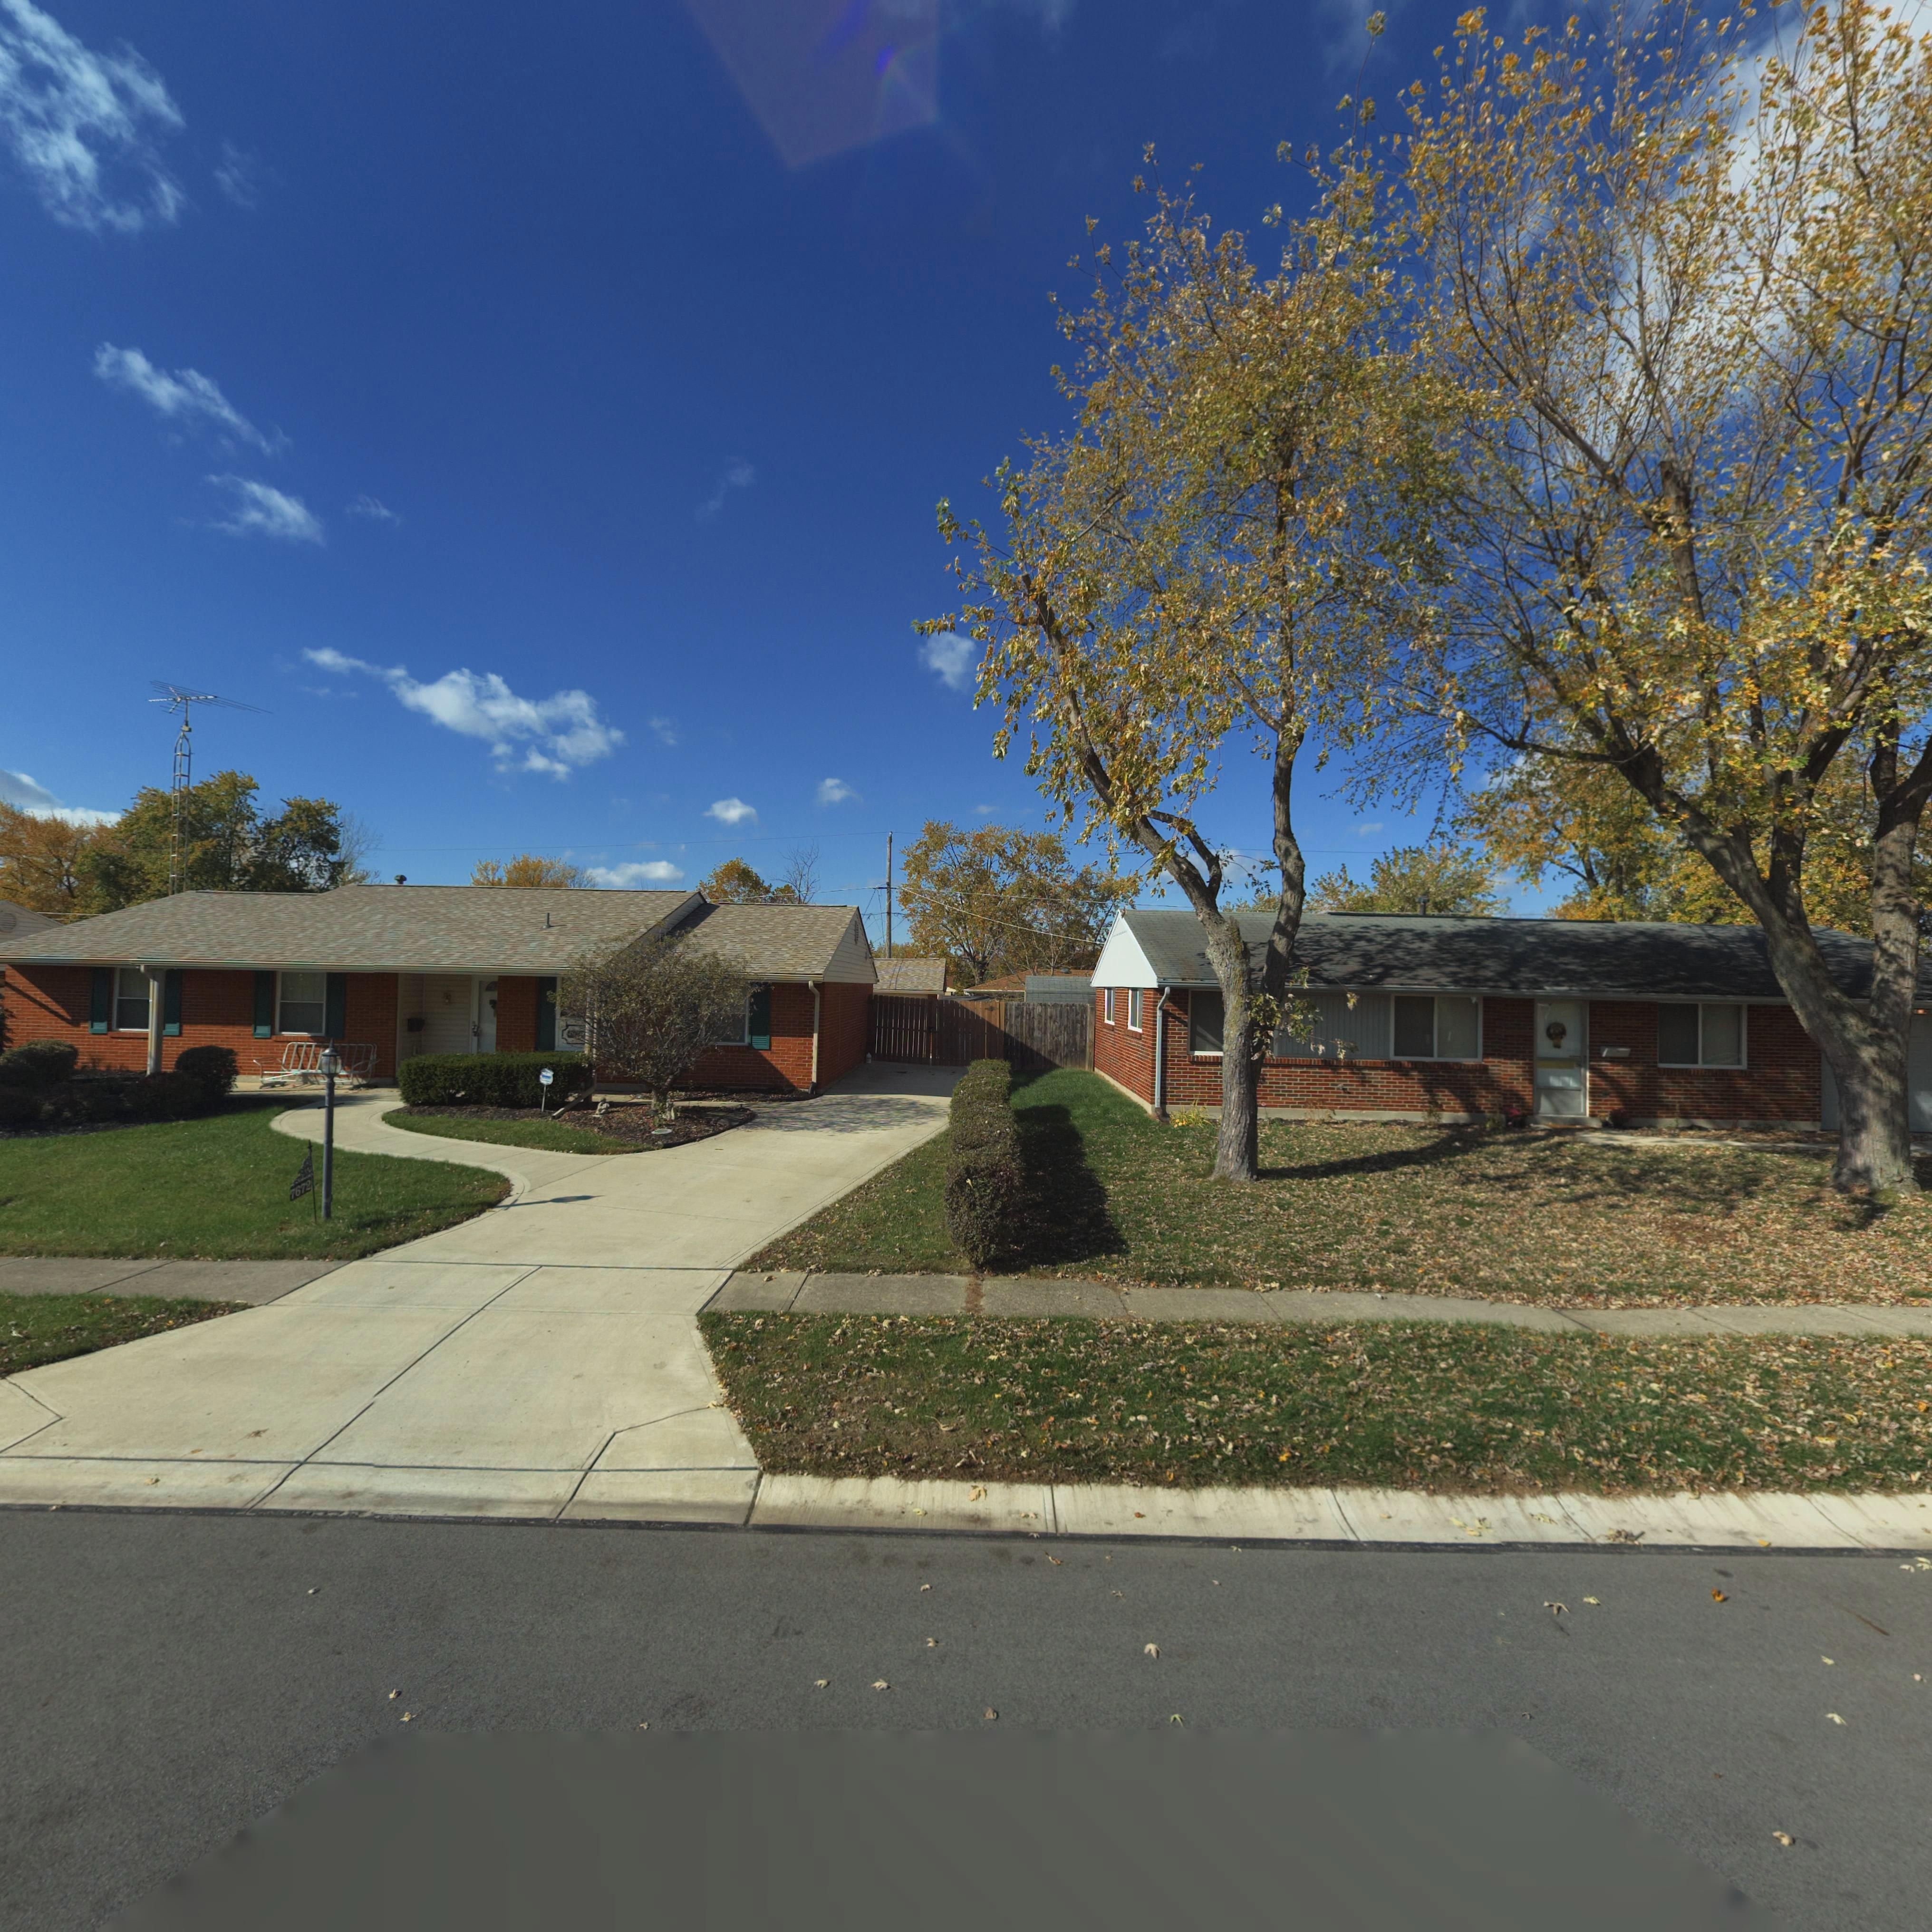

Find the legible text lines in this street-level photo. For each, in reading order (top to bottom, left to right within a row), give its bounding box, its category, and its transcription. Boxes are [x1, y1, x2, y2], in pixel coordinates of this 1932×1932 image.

[289, 1179, 312, 1201] StreetNumber: 7672